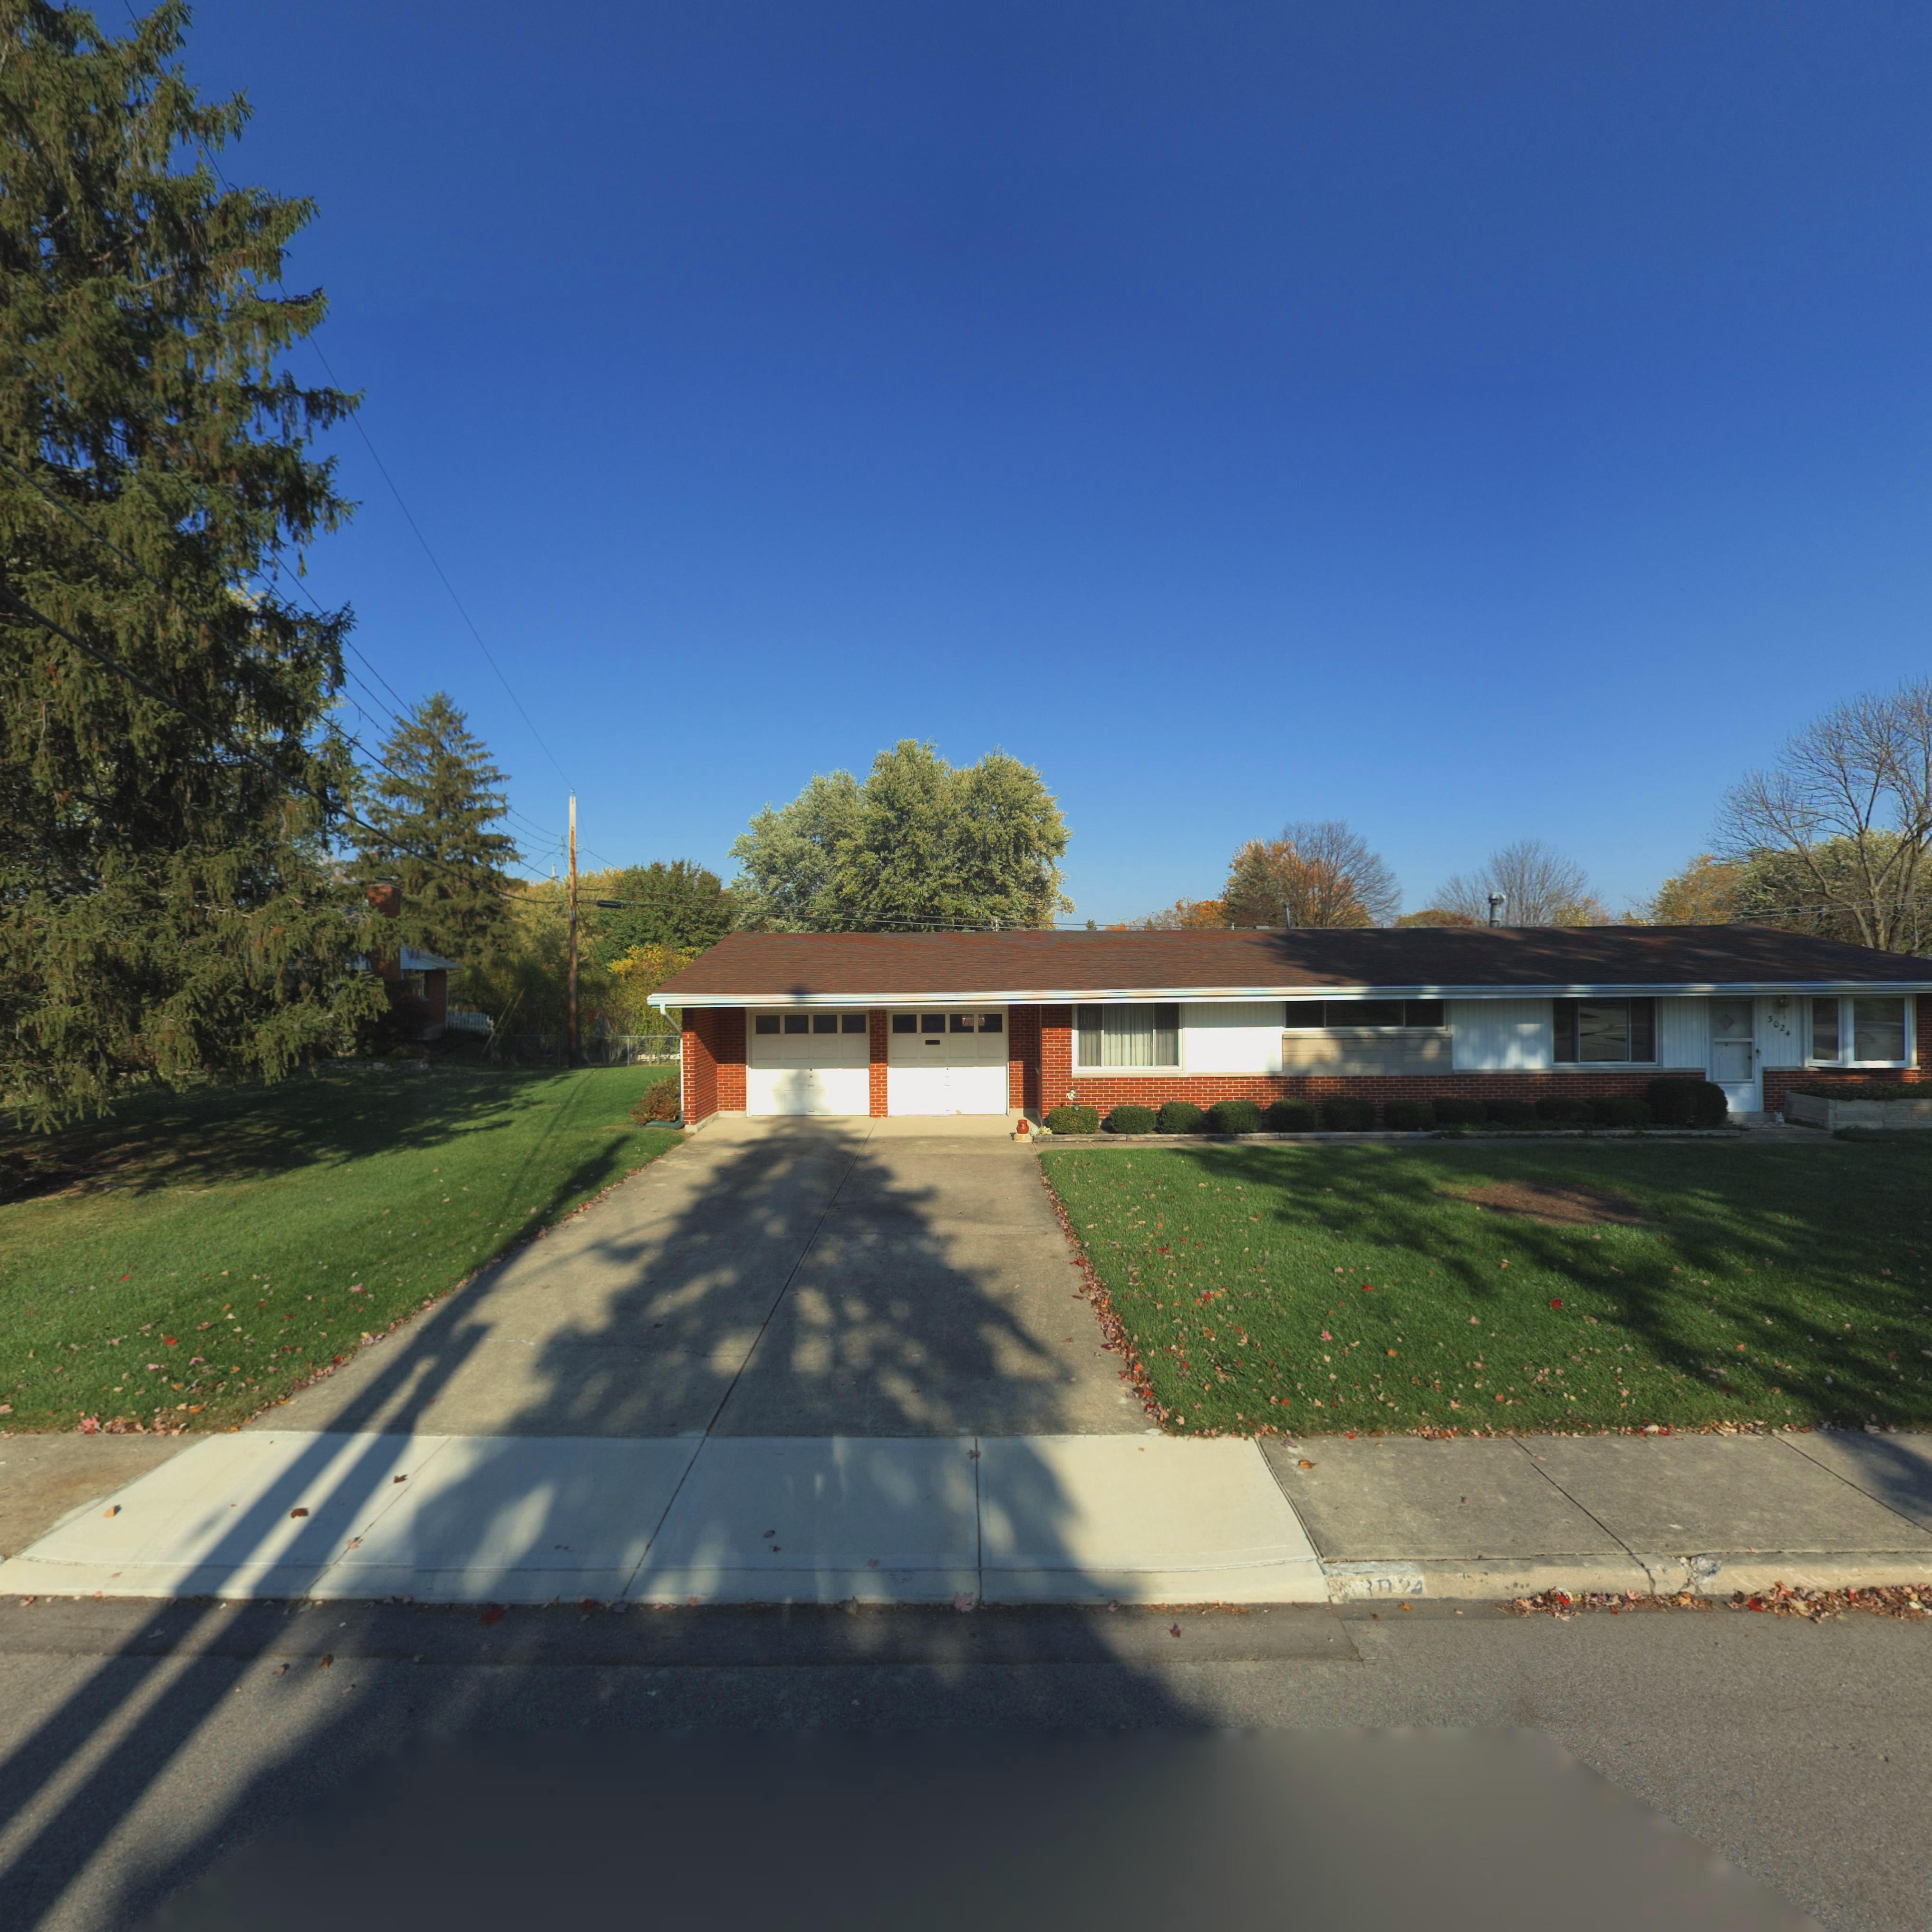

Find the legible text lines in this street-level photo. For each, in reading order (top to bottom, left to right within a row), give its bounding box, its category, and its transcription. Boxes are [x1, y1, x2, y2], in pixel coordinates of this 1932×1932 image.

[1766, 1015, 1790, 1037] StreetNumber: 3024